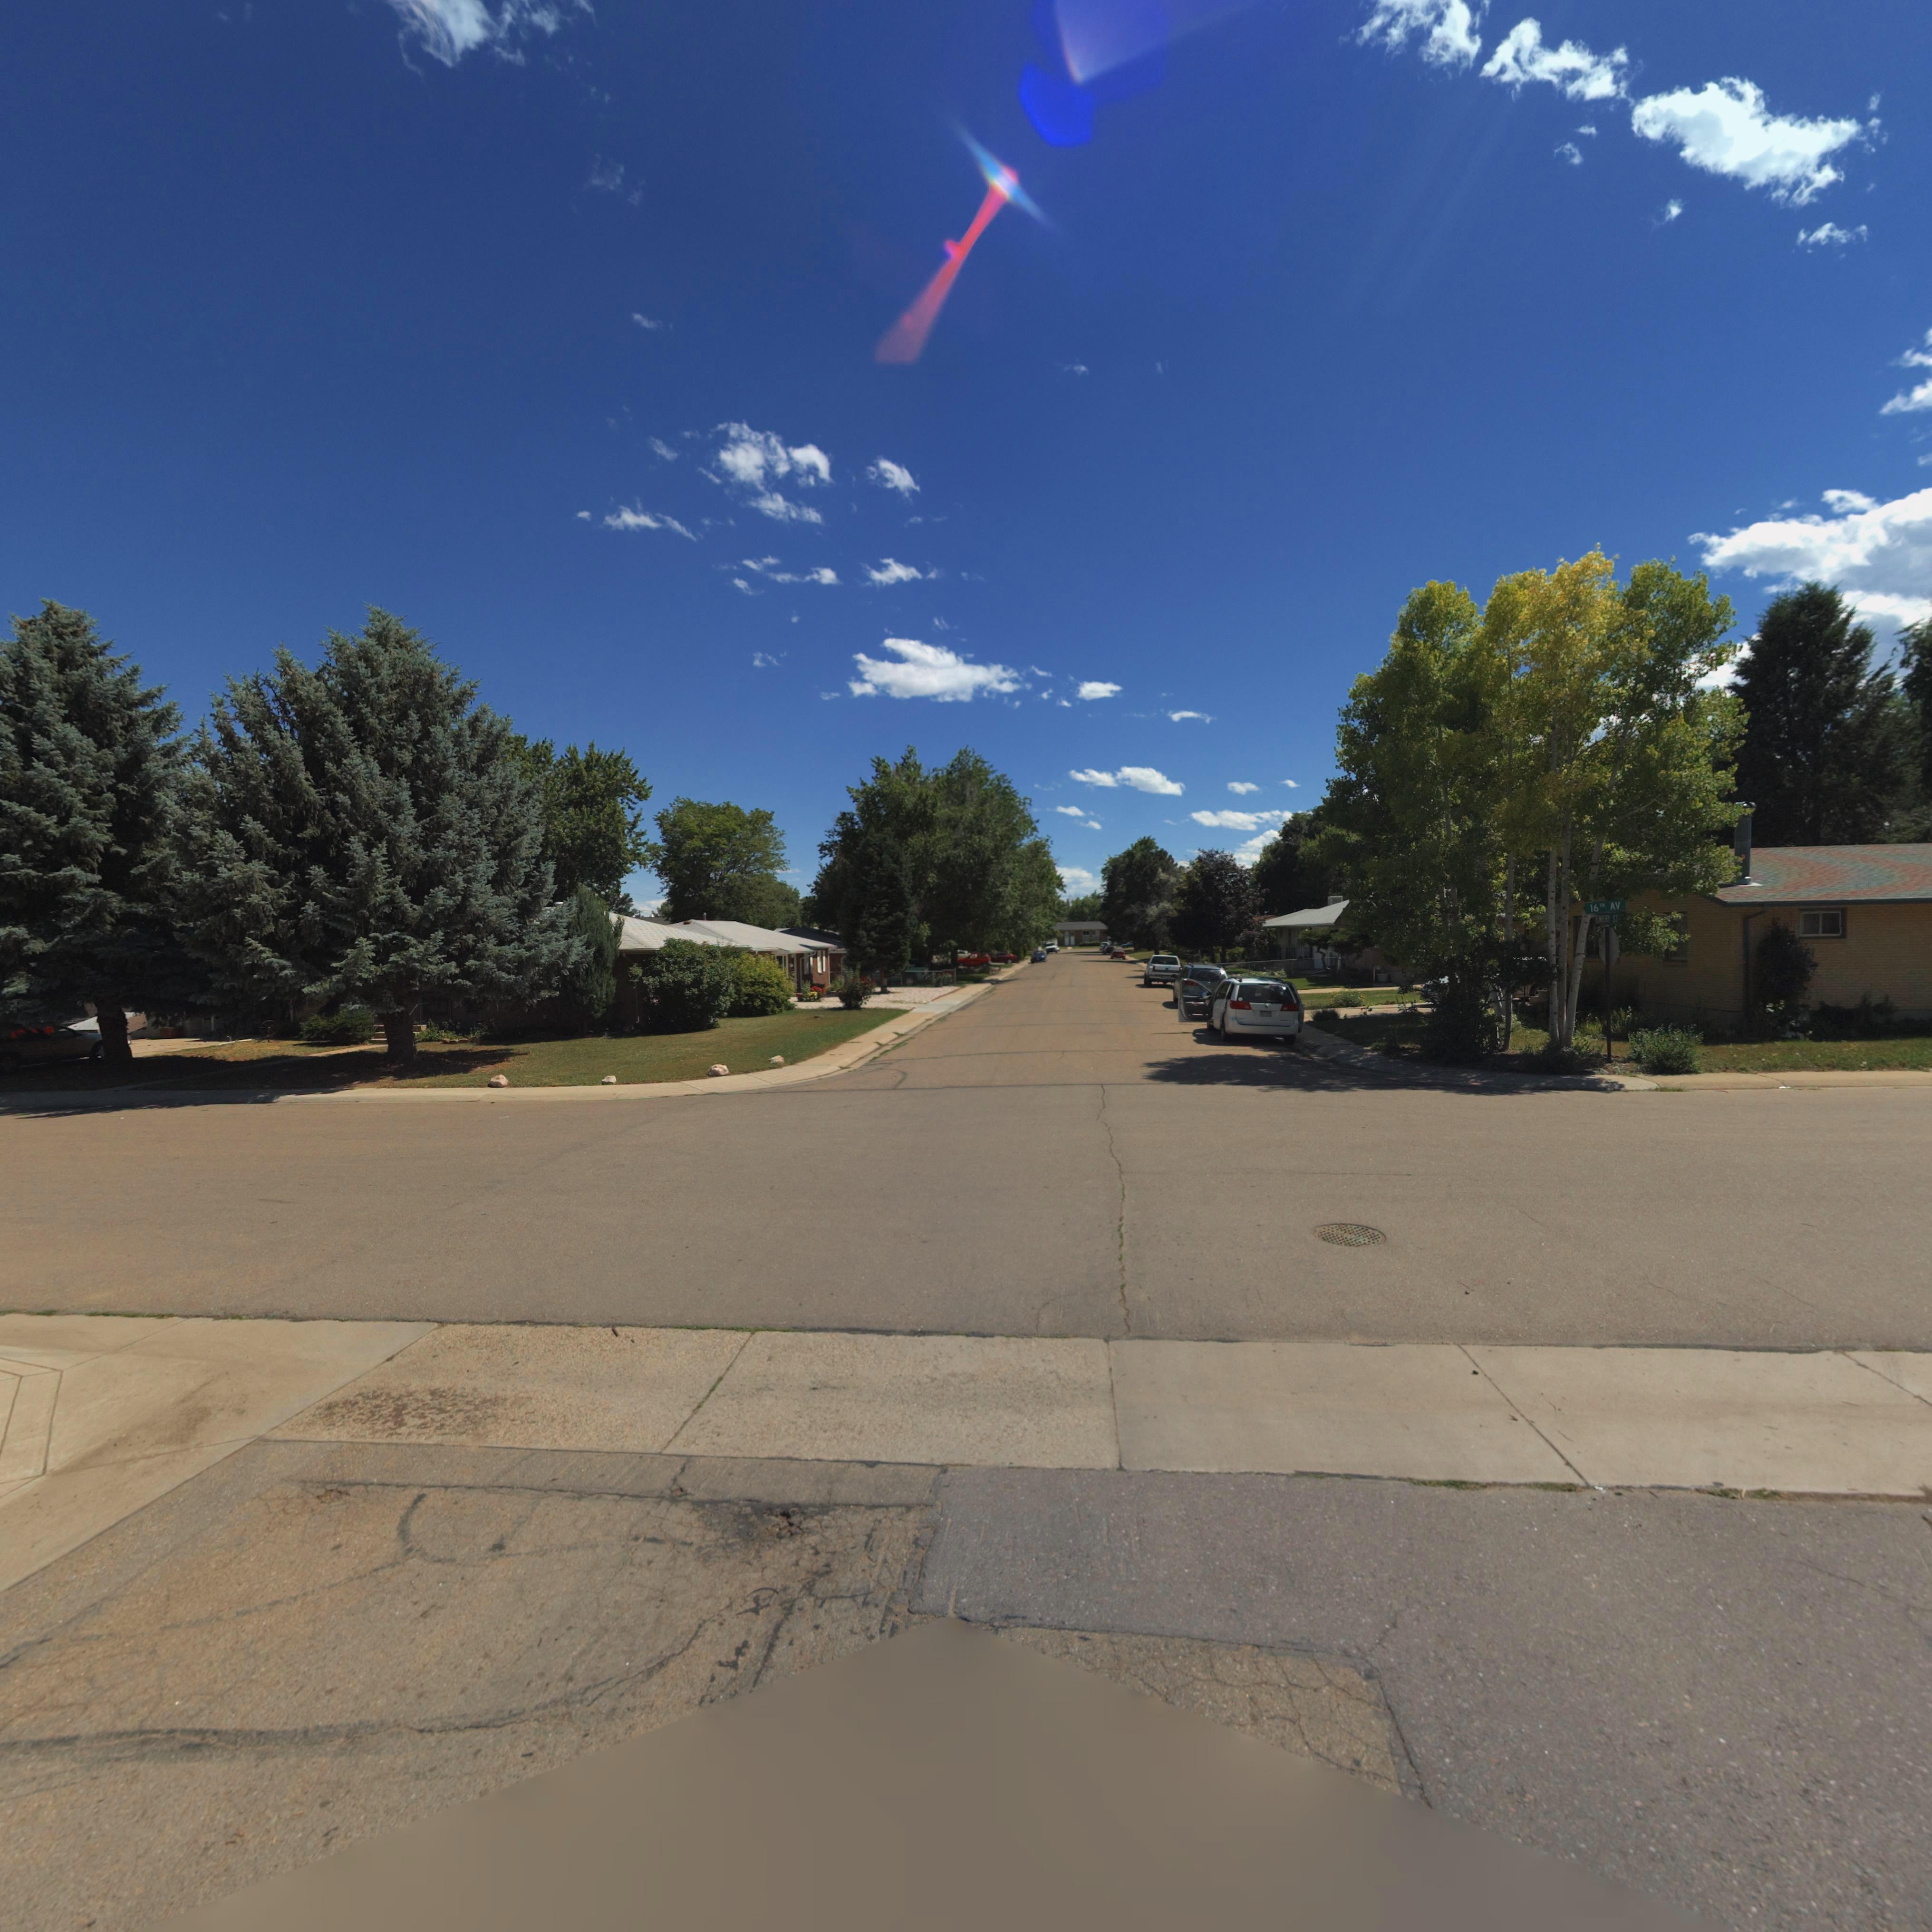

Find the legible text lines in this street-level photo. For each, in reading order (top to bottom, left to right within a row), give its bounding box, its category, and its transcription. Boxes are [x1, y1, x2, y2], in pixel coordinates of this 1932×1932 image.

[1590, 901, 1620, 912] StreetName: 16TH AV
[1595, 915, 1618, 923] StreetName: EMERY ST